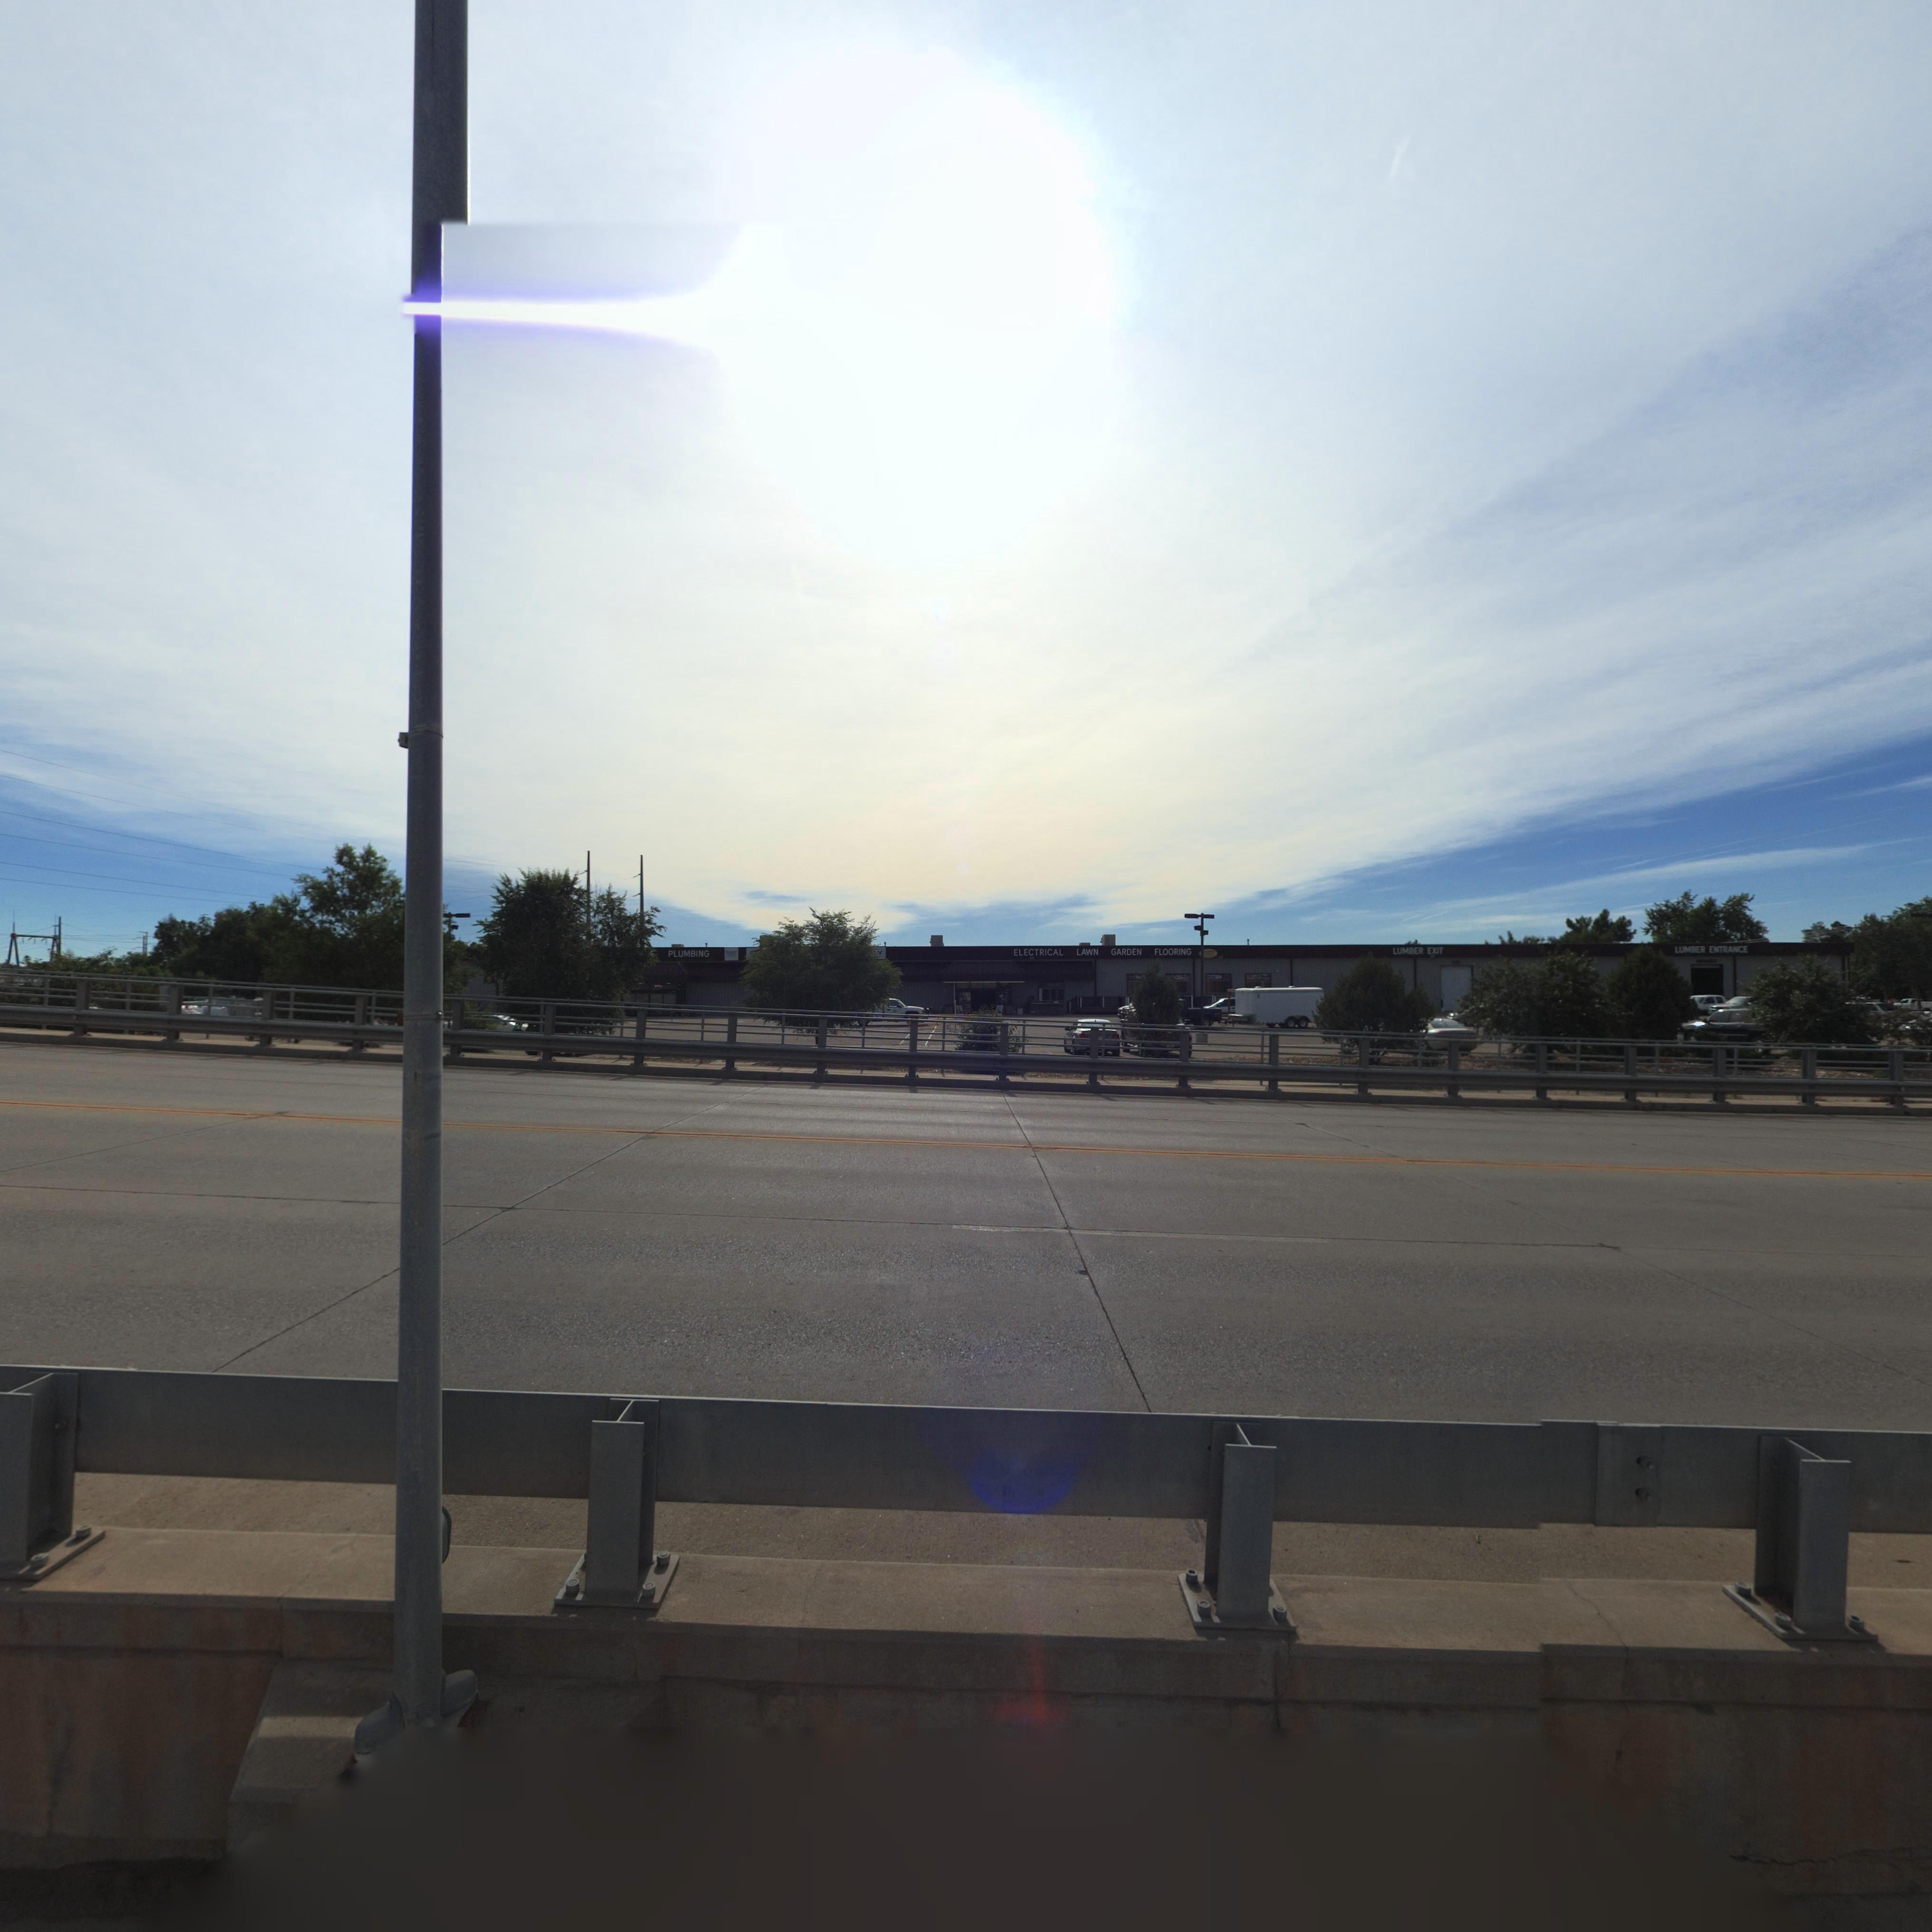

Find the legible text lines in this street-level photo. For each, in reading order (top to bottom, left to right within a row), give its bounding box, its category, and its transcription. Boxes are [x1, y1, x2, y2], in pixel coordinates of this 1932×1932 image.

[876, 950, 883, 956] BusinessName: Y